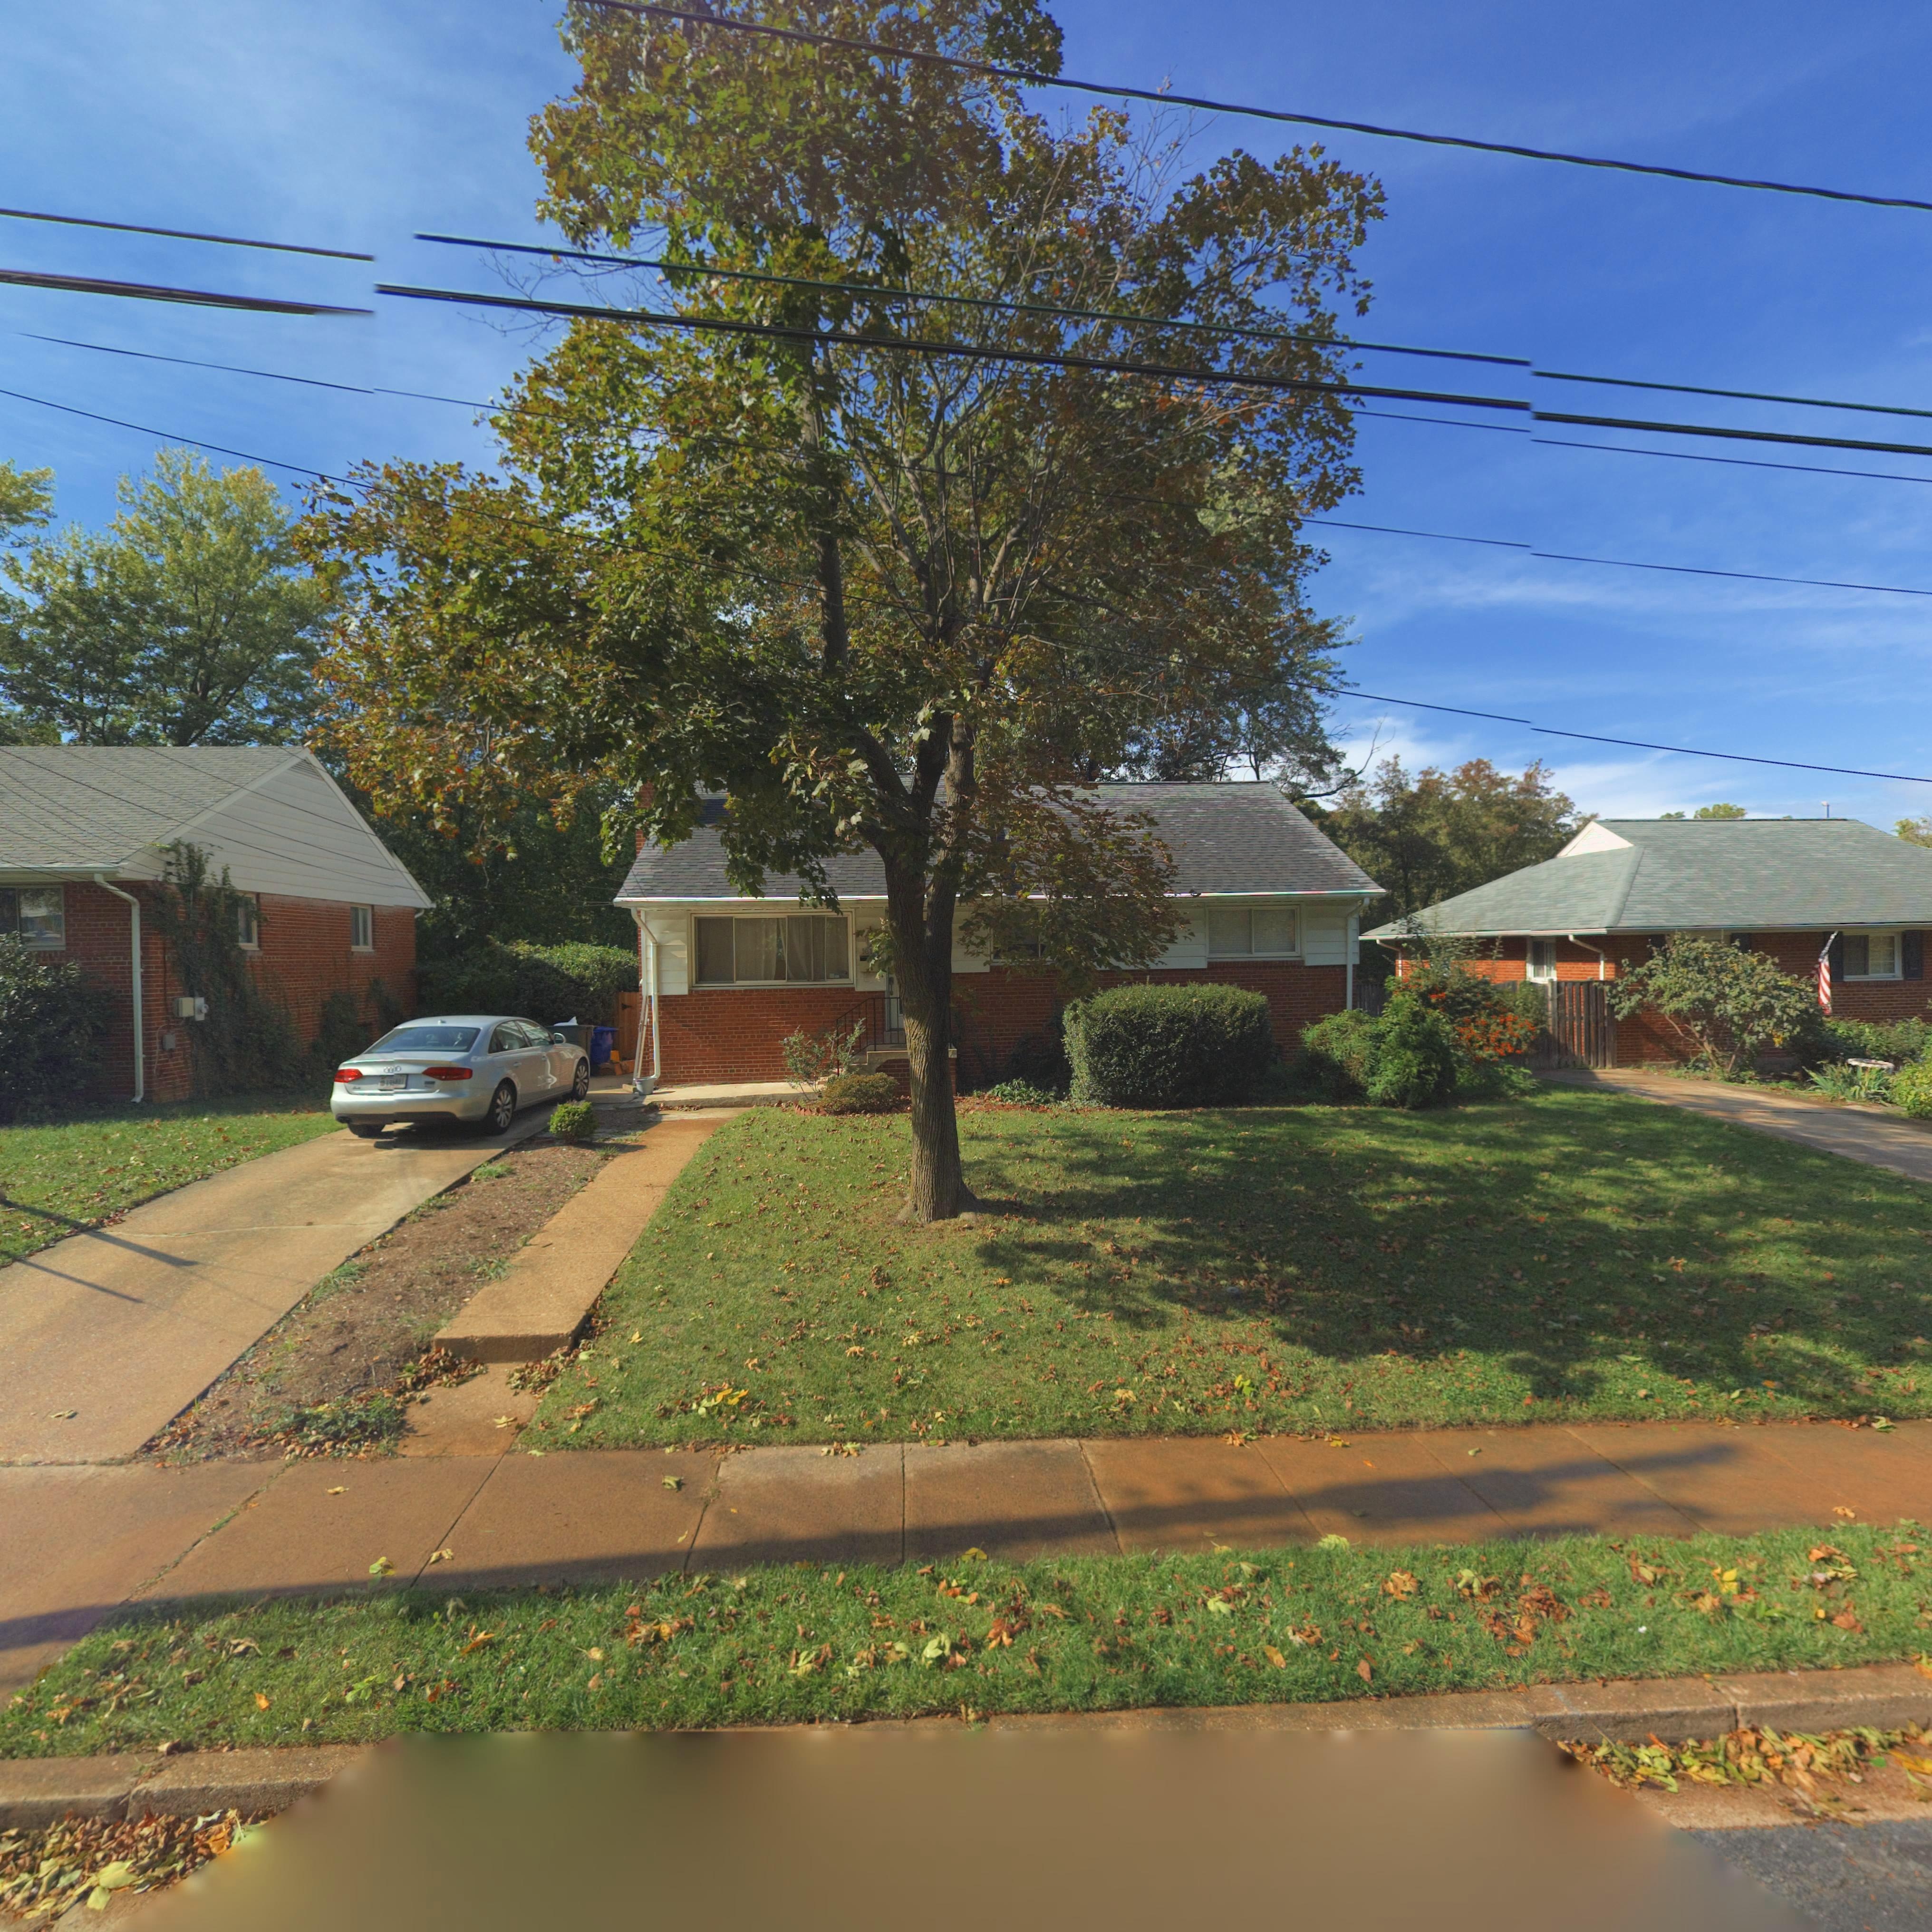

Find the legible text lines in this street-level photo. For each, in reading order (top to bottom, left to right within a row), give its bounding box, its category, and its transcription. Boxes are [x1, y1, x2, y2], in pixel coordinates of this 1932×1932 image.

[861, 947, 879, 954] StreetNumber: 161*
[385, 1079, 392, 1086] None: 19
[395, 1078, 405, 1083] None: 681
[351, 1085, 361, 1090] None: A4